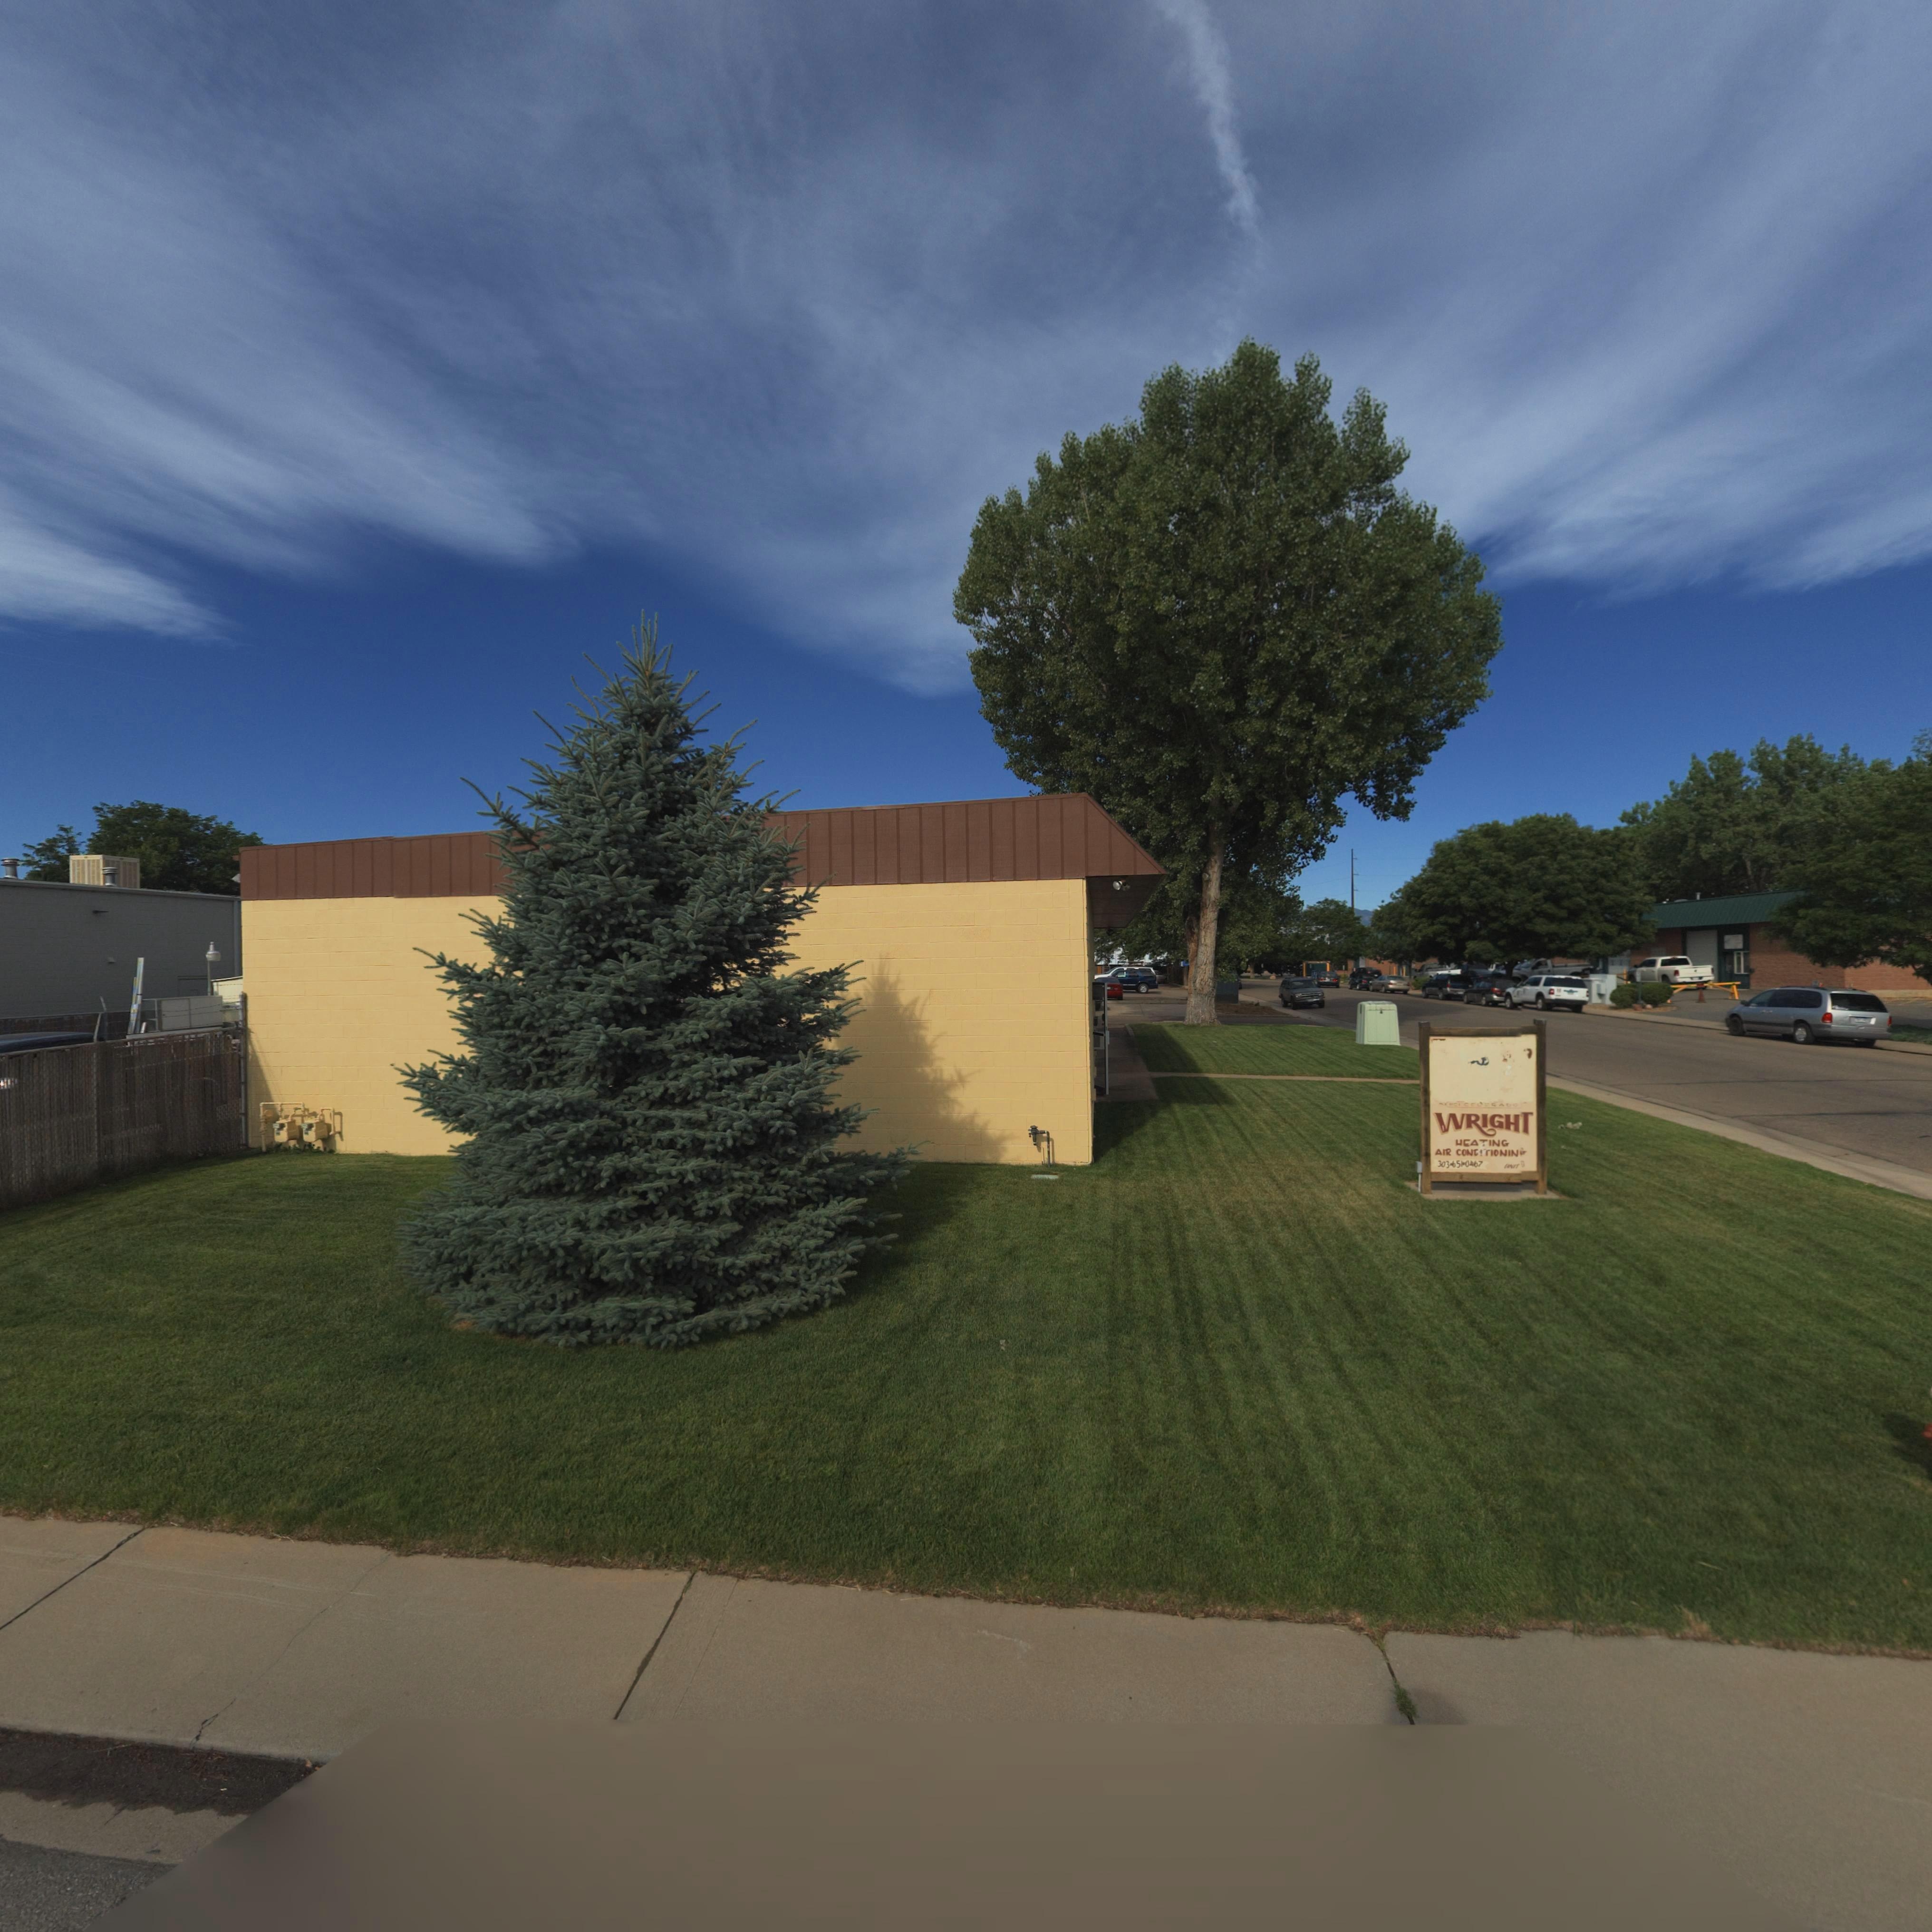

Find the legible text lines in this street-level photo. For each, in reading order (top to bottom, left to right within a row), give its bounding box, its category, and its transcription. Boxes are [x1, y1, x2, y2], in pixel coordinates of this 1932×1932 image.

[1433, 1108, 1535, 1140] BusinessName: WRIGHT
[1455, 1139, 1510, 1147] BusinessName: HEATING
[1434, 1147, 1527, 1157] BusinessName: AIR CONDITIONING
[1503, 1160, 1525, 1169] SecondaryUnitDesignator: UNIT B